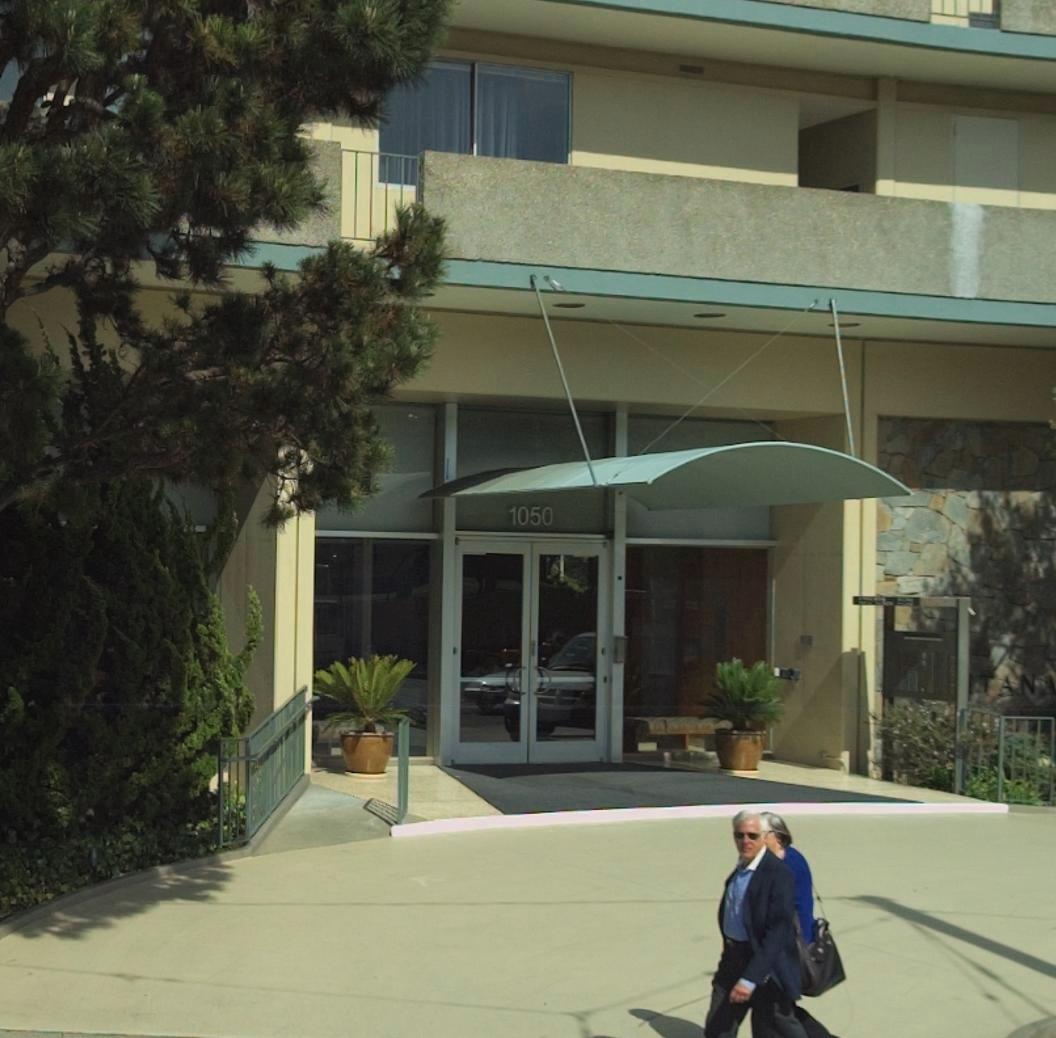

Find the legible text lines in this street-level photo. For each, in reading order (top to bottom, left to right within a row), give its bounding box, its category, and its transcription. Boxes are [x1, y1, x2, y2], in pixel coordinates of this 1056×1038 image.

[506, 504, 556, 528] StreetNumber: 1050